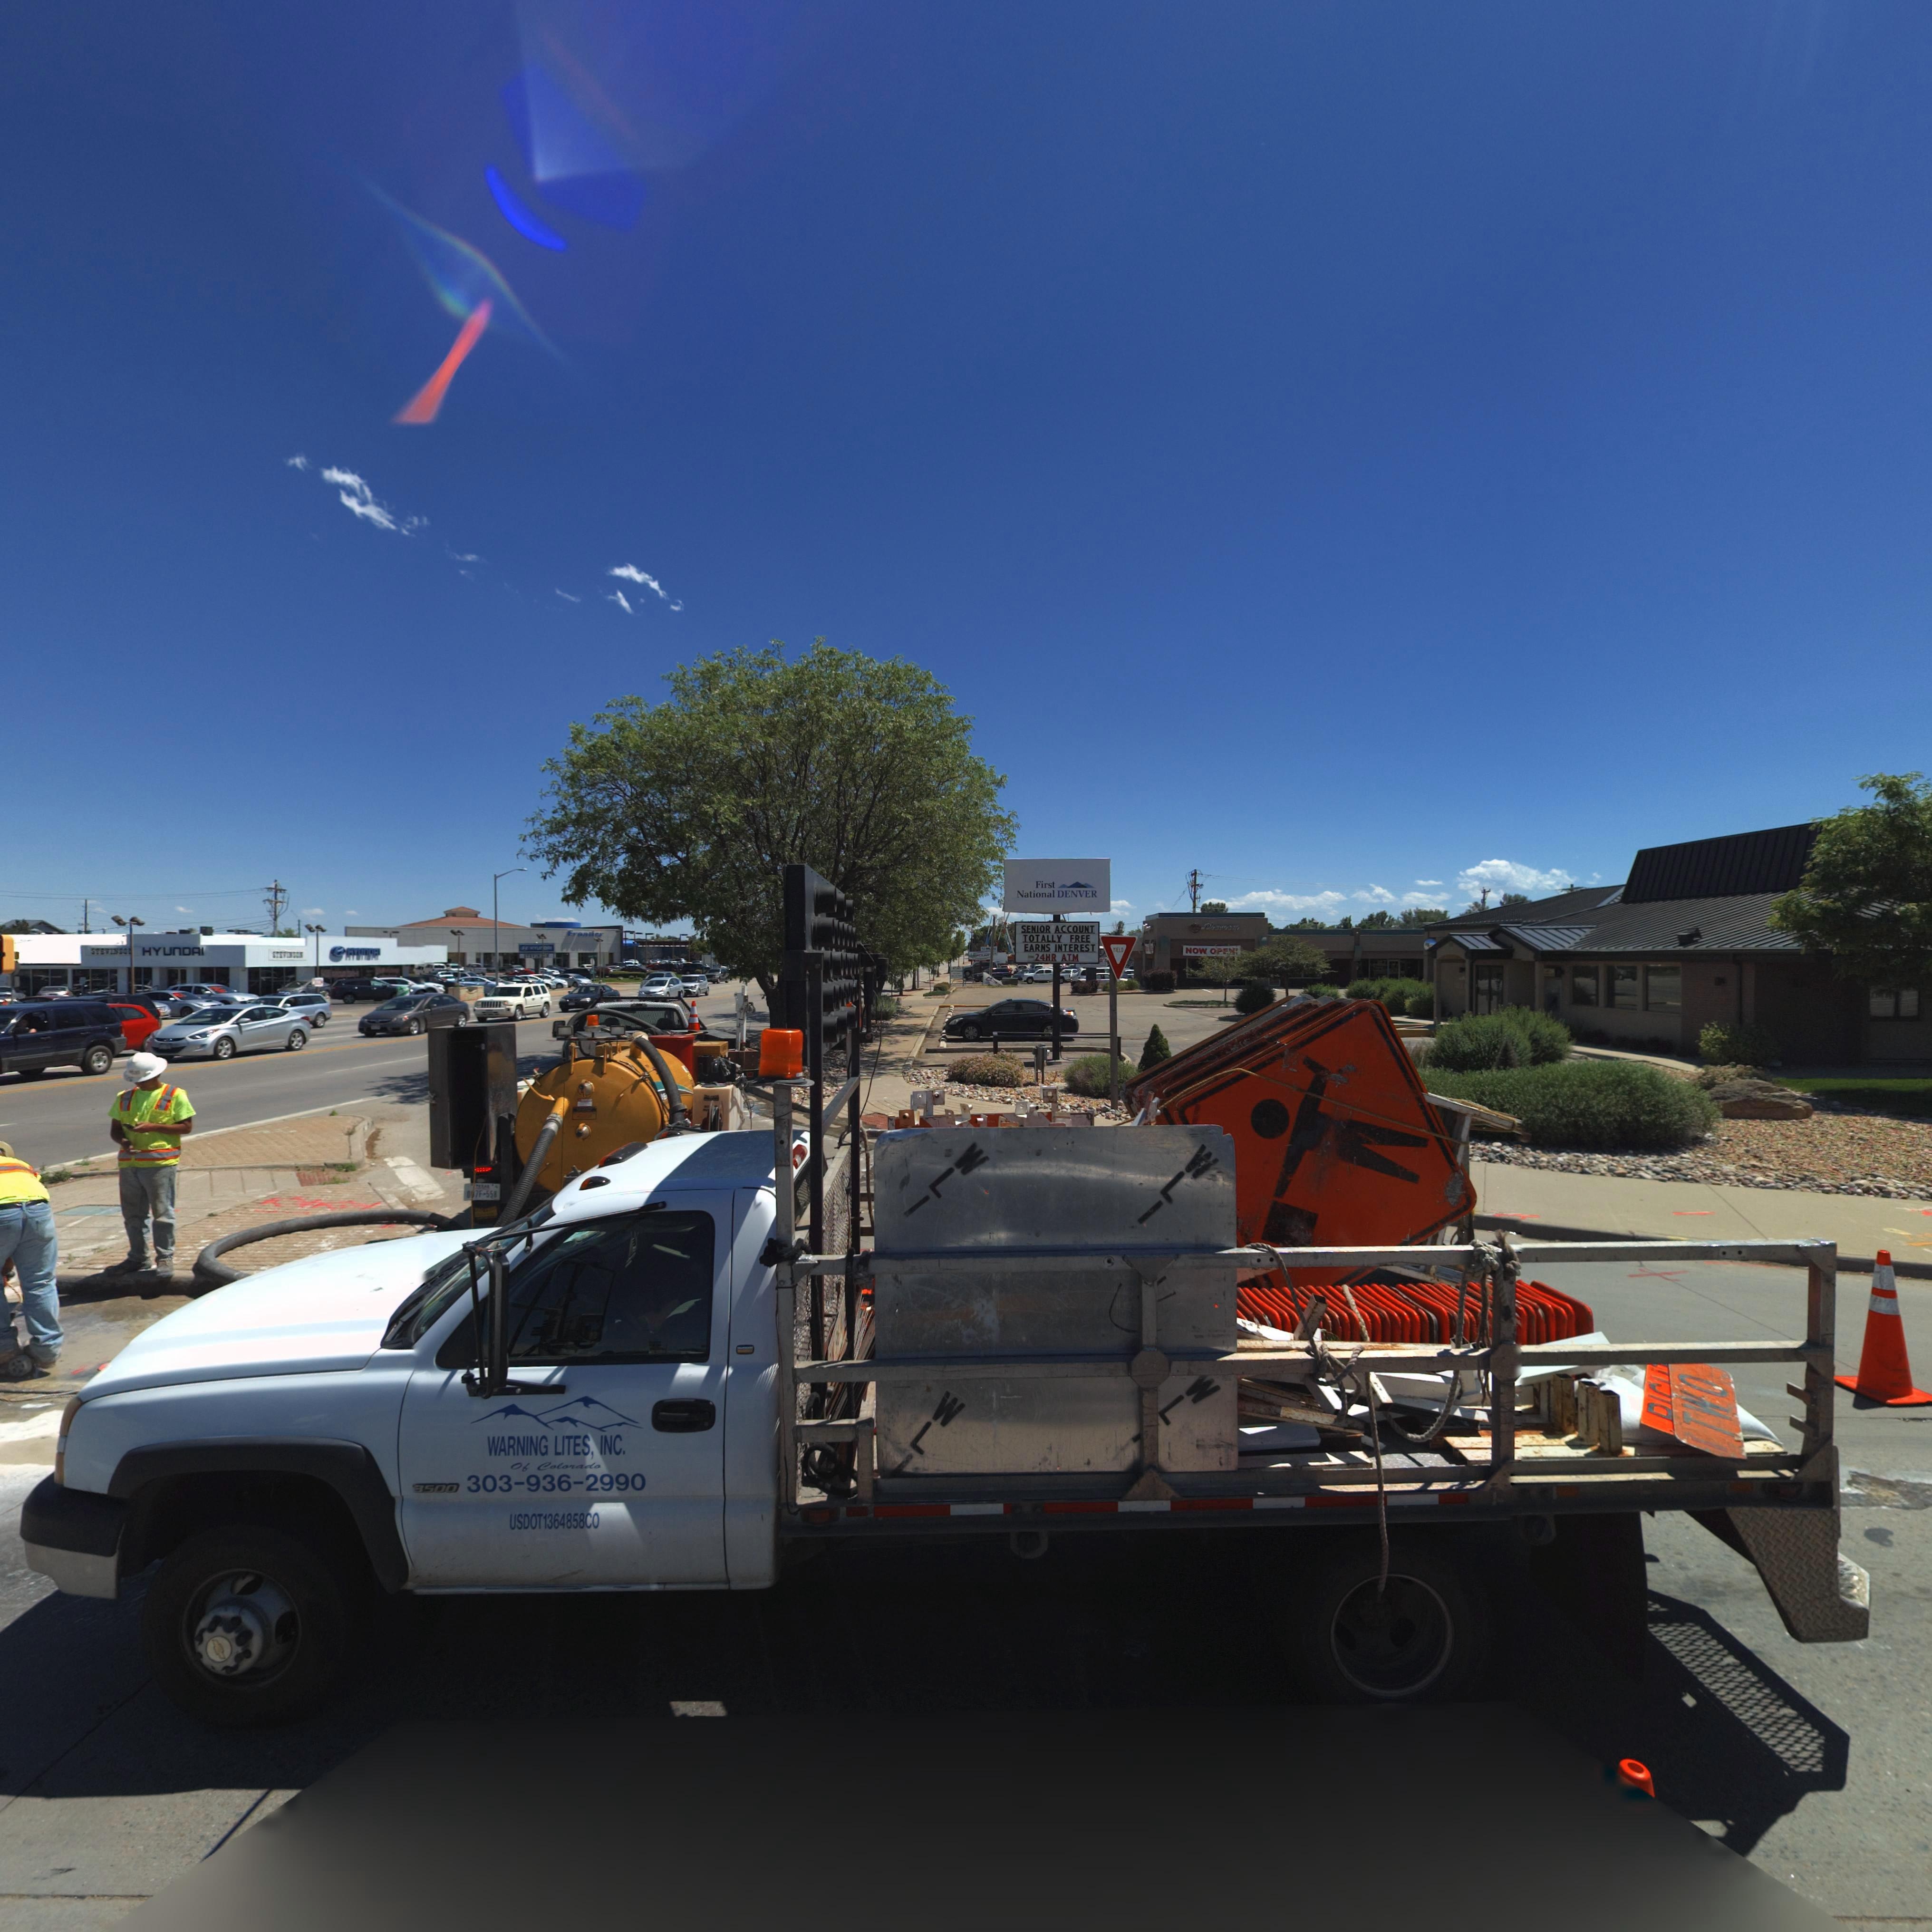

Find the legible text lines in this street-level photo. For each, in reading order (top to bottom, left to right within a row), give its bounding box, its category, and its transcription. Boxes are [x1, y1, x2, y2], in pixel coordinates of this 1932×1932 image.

[1035, 880, 1055, 889] BusinessName: First
[1016, 889, 1097, 898] BusinessName: National DENVER
[567, 929, 604, 937] BusinessName: Fron**er
[91, 947, 128, 955] BusinessName: STEVI***
[141, 946, 205, 956] BusinessName: HYUnDAI
[347, 947, 380, 956] BusinessName: HYUnDAI
[523, 953, 550, 958] BusinessName: ST********
[529, 946, 552, 950] BusinessName: HYUnD**